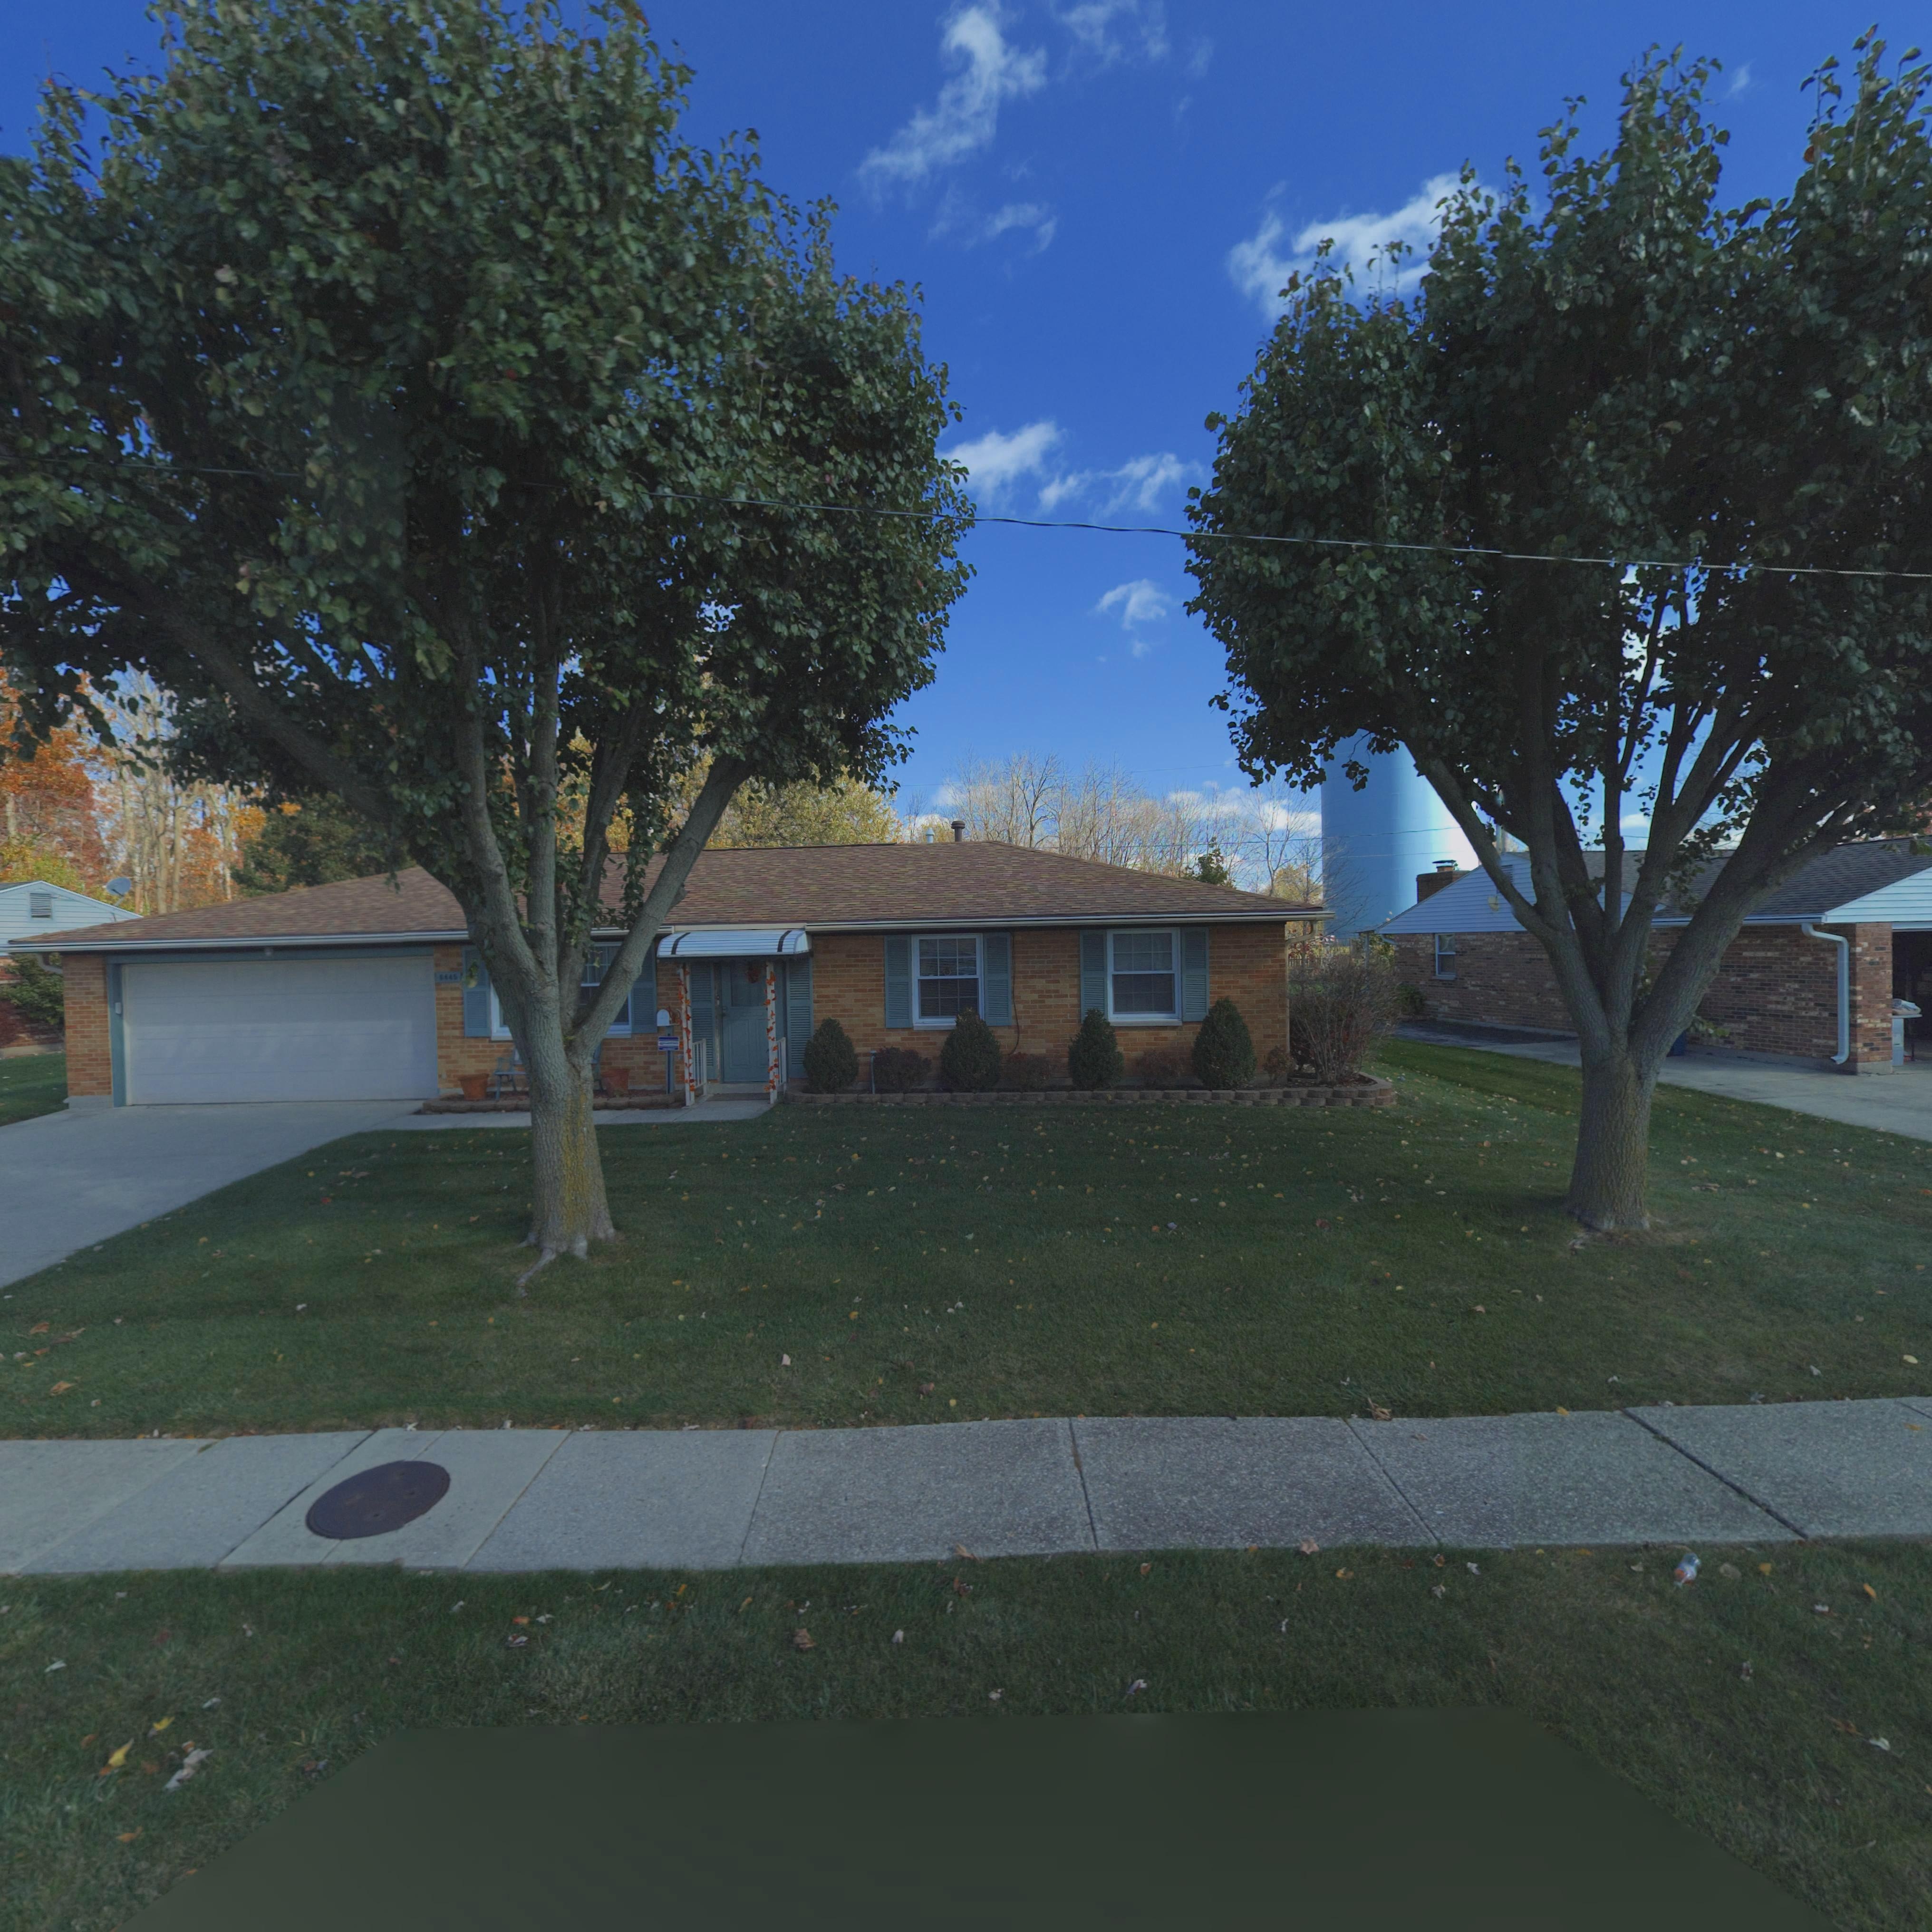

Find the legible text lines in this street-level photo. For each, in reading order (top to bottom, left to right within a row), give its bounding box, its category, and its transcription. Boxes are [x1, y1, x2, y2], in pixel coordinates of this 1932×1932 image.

[439, 973, 458, 981] StreetNumber: 6465